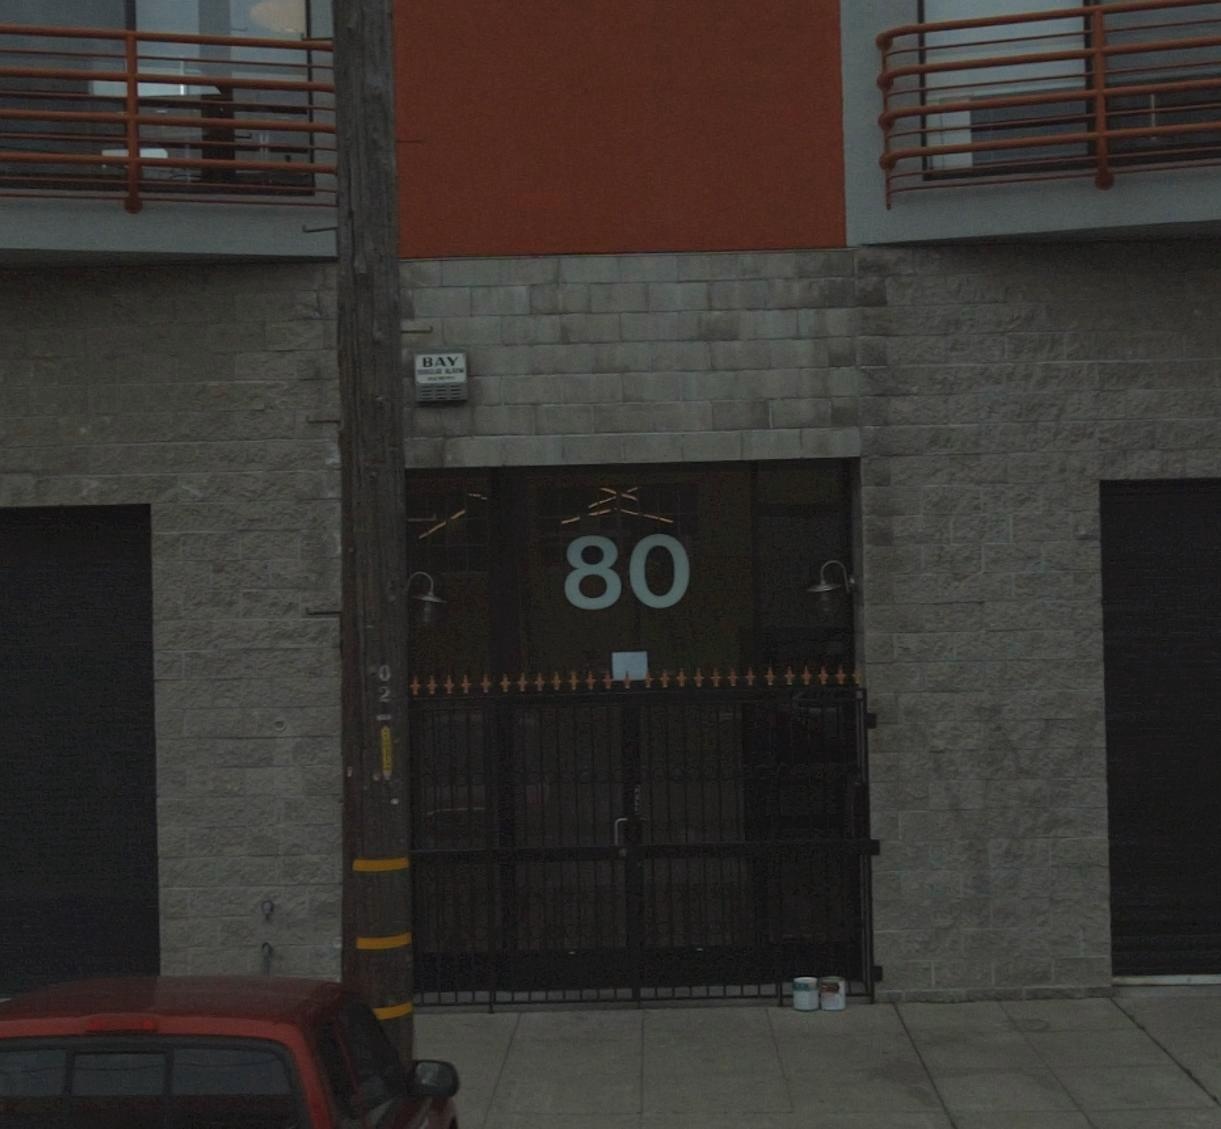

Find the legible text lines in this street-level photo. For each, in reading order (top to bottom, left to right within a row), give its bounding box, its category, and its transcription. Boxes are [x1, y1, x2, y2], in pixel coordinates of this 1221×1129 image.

[422, 354, 459, 368] None: BAY
[416, 368, 465, 376] None: BURGLAR ALARM
[560, 533, 691, 611] StreetNumber: 80
[378, 664, 392, 705] None: 02